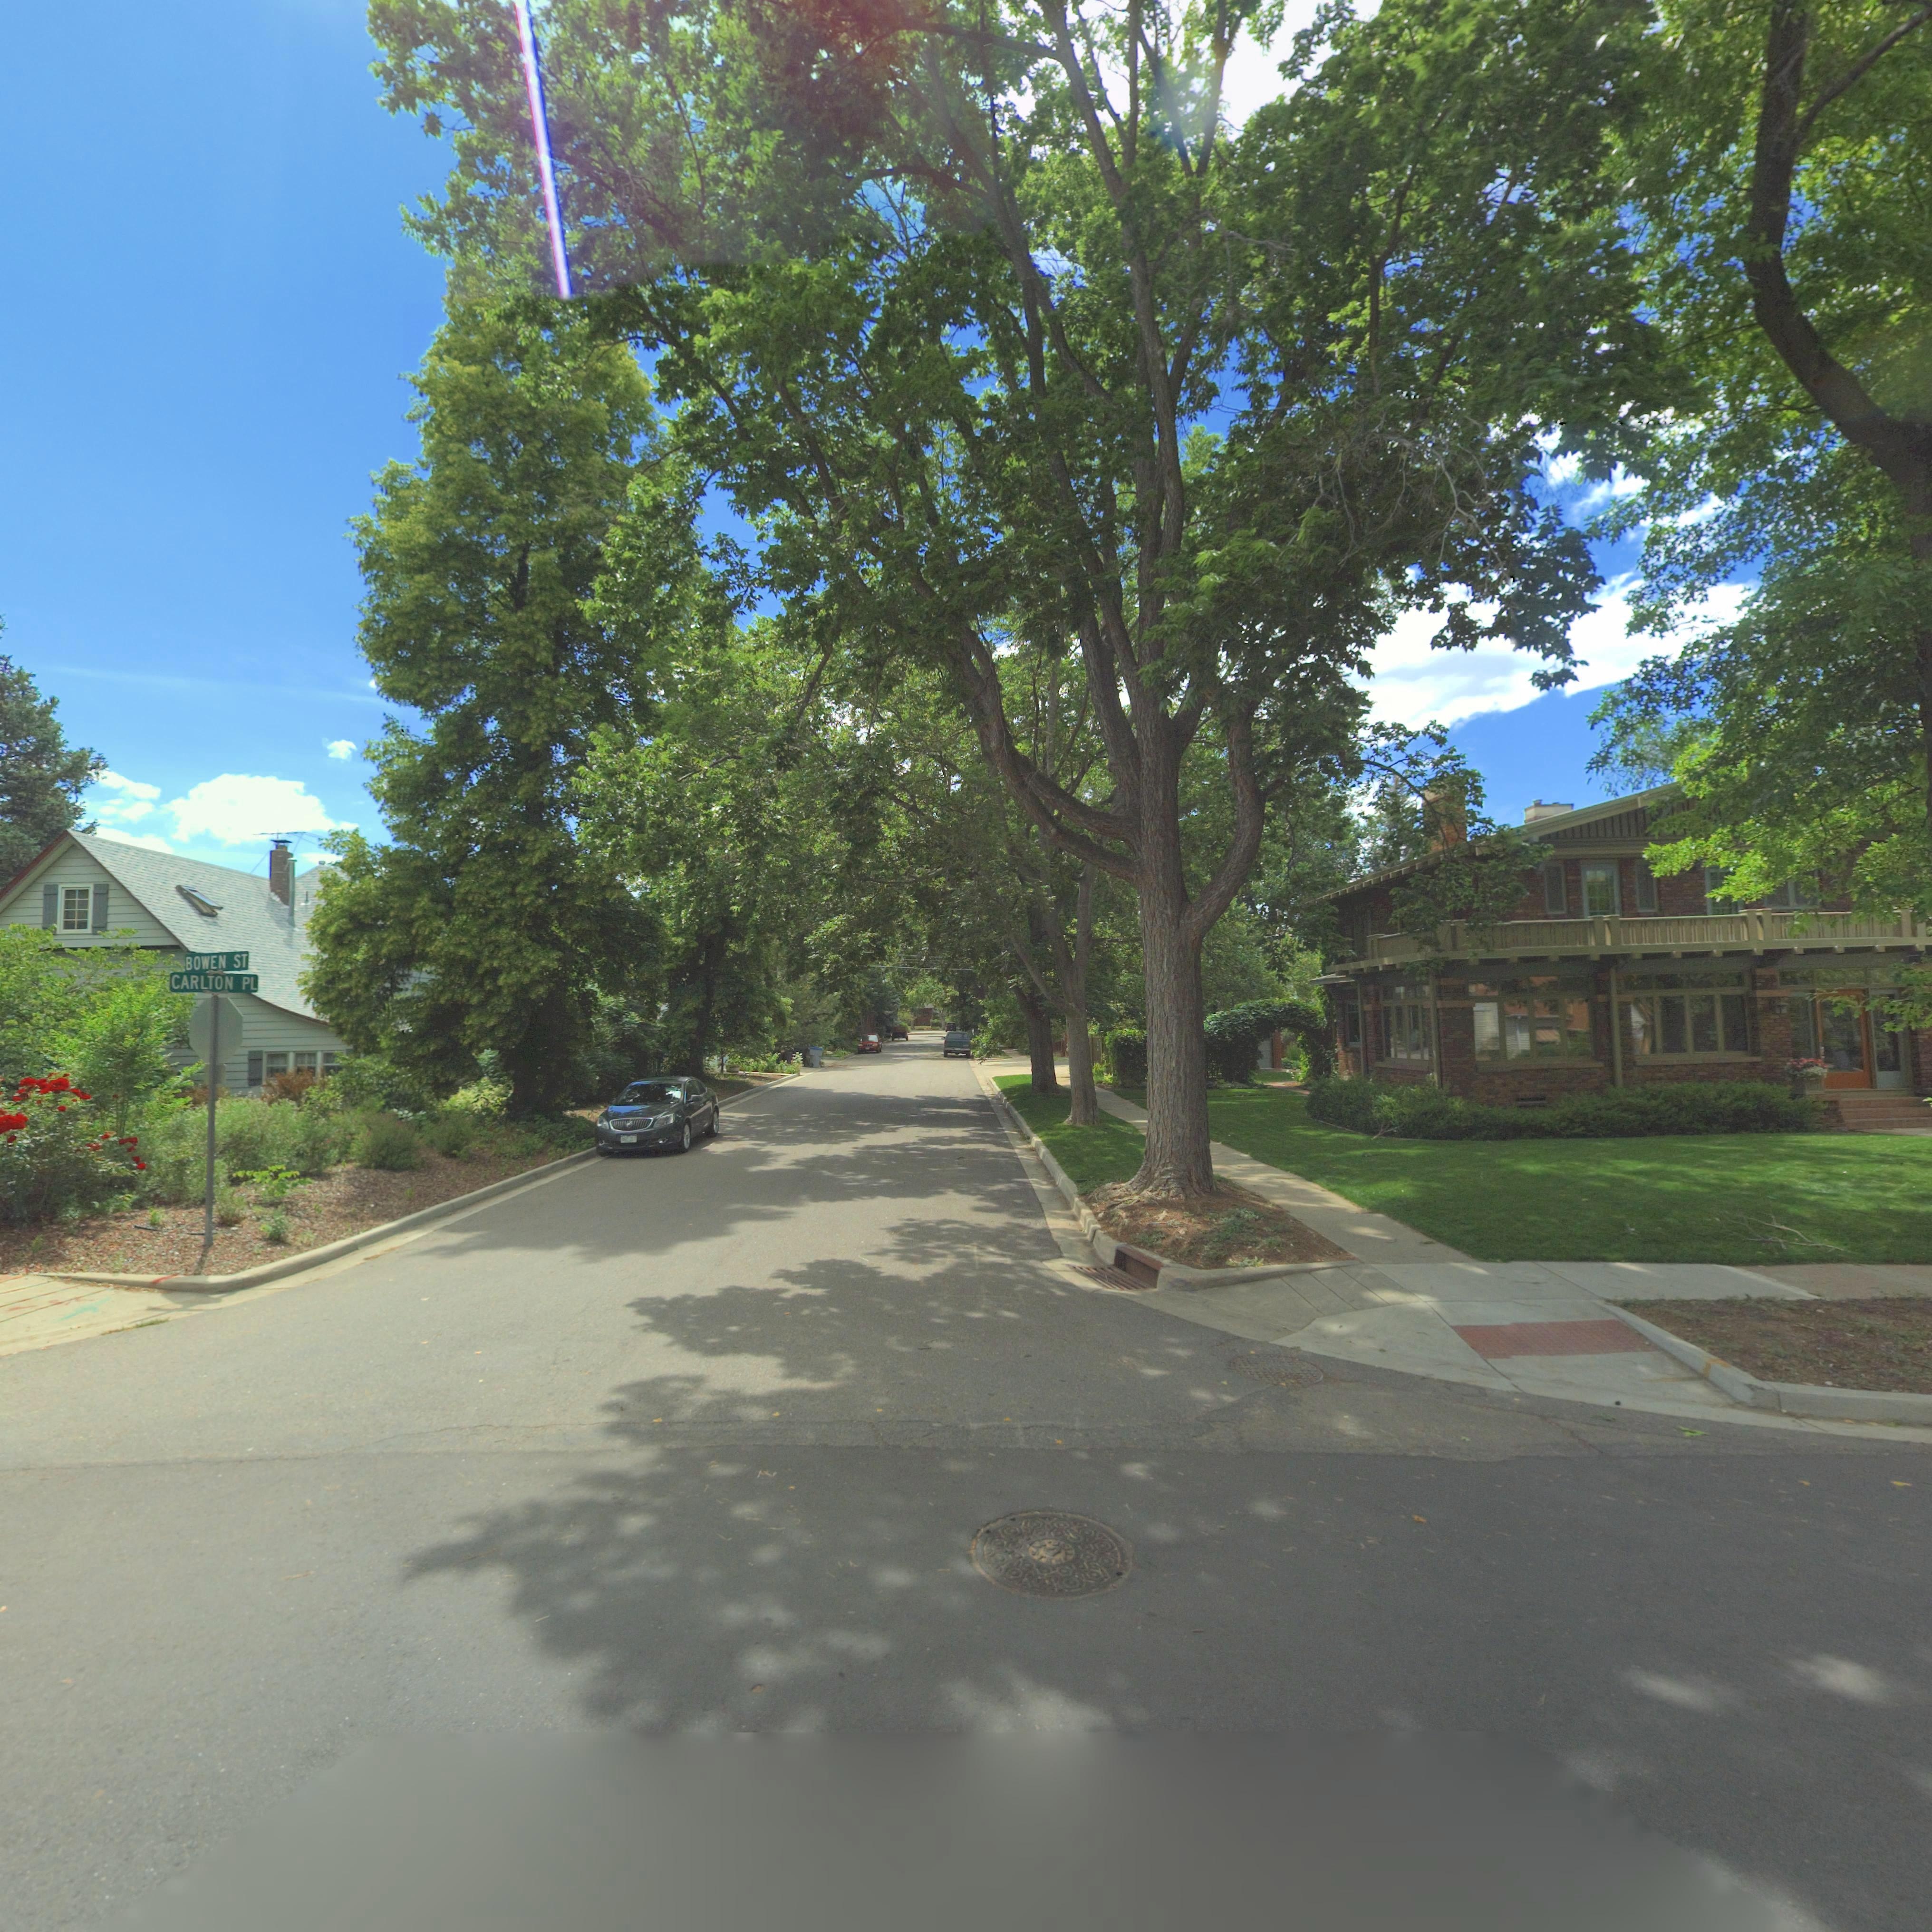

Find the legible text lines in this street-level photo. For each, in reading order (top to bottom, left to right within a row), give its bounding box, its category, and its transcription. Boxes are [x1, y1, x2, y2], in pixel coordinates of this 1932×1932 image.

[184, 953, 248, 971] StreetName: BOWEN ST
[170, 974, 258, 991] StreetName: CARLTON PL